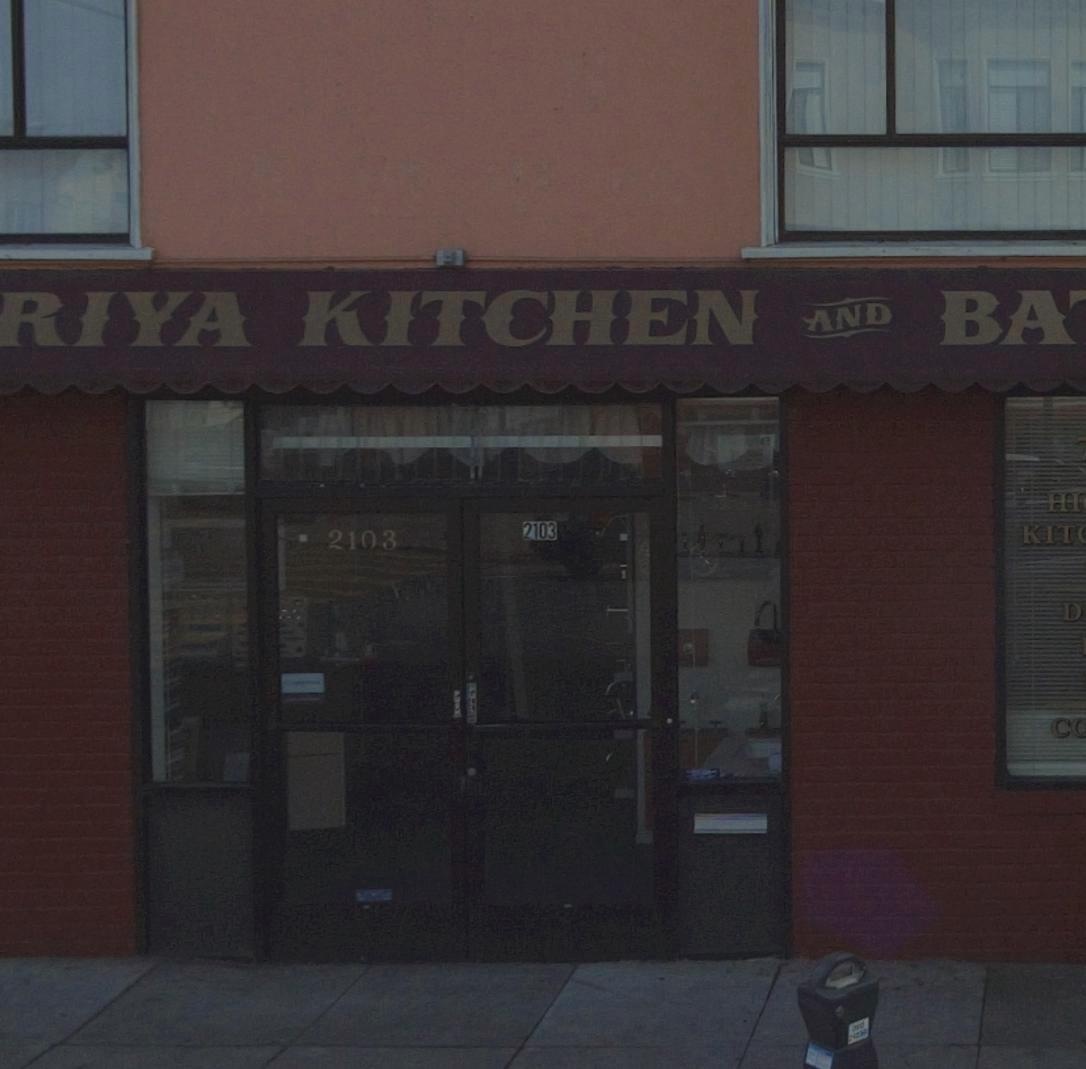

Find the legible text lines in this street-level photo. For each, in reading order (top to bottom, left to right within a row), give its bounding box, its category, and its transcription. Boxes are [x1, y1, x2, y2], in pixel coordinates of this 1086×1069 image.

[69, 285, 767, 350] BusinessName: IYA KITCHEN
[801, 301, 896, 333] BusinessName: AND
[935, 285, 1082, 349] BusinessName: BA
[1044, 489, 1083, 516] None: HI
[325, 528, 398, 552] StreetNumber: 2103
[522, 521, 558, 540] StreetNumber: 2103
[1021, 522, 1078, 546] None: KIT
[1061, 599, 1084, 624] None: D
[1047, 716, 1072, 742] None: C